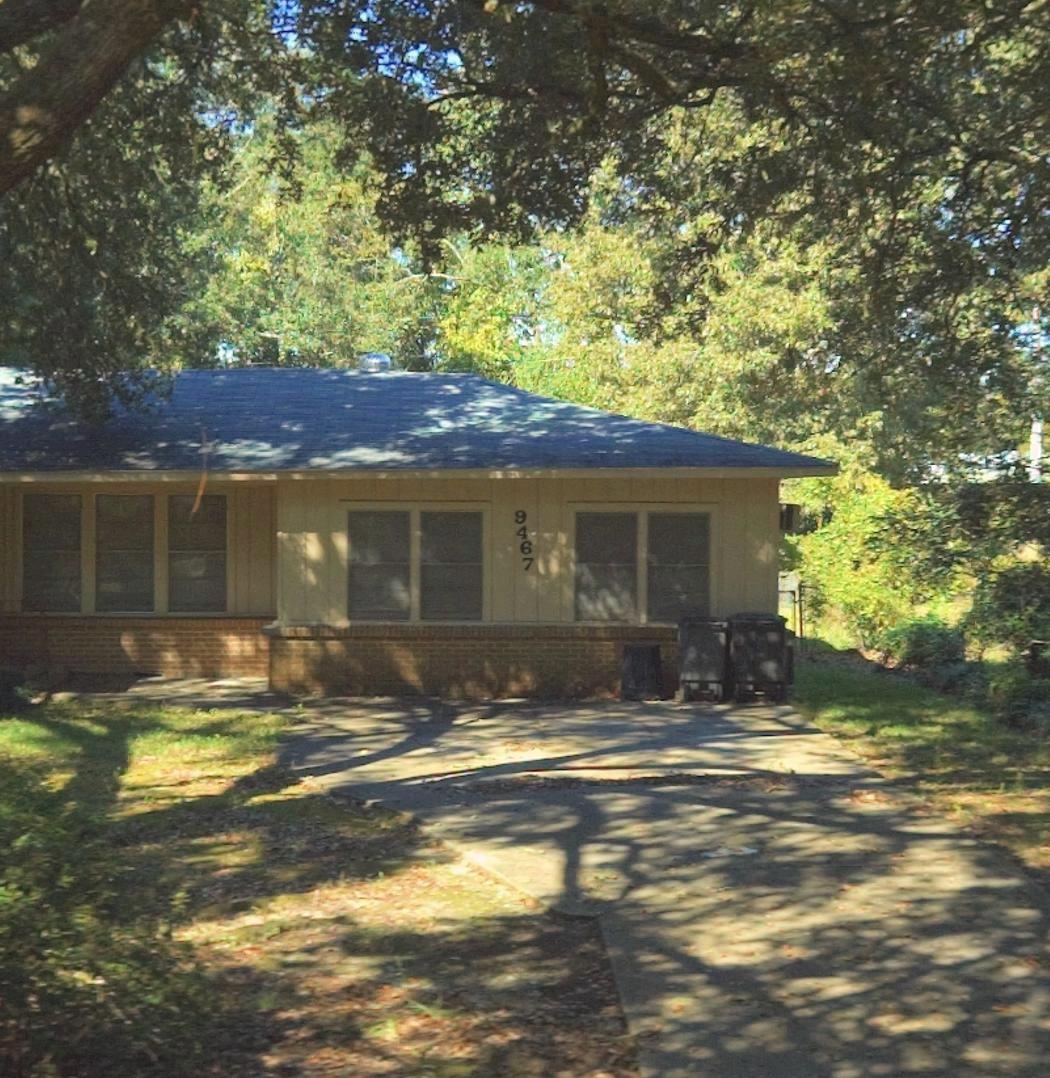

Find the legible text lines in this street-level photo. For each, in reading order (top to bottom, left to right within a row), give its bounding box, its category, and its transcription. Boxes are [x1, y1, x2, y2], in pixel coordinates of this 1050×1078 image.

[513, 508, 537, 572] StreetNumber: 9467